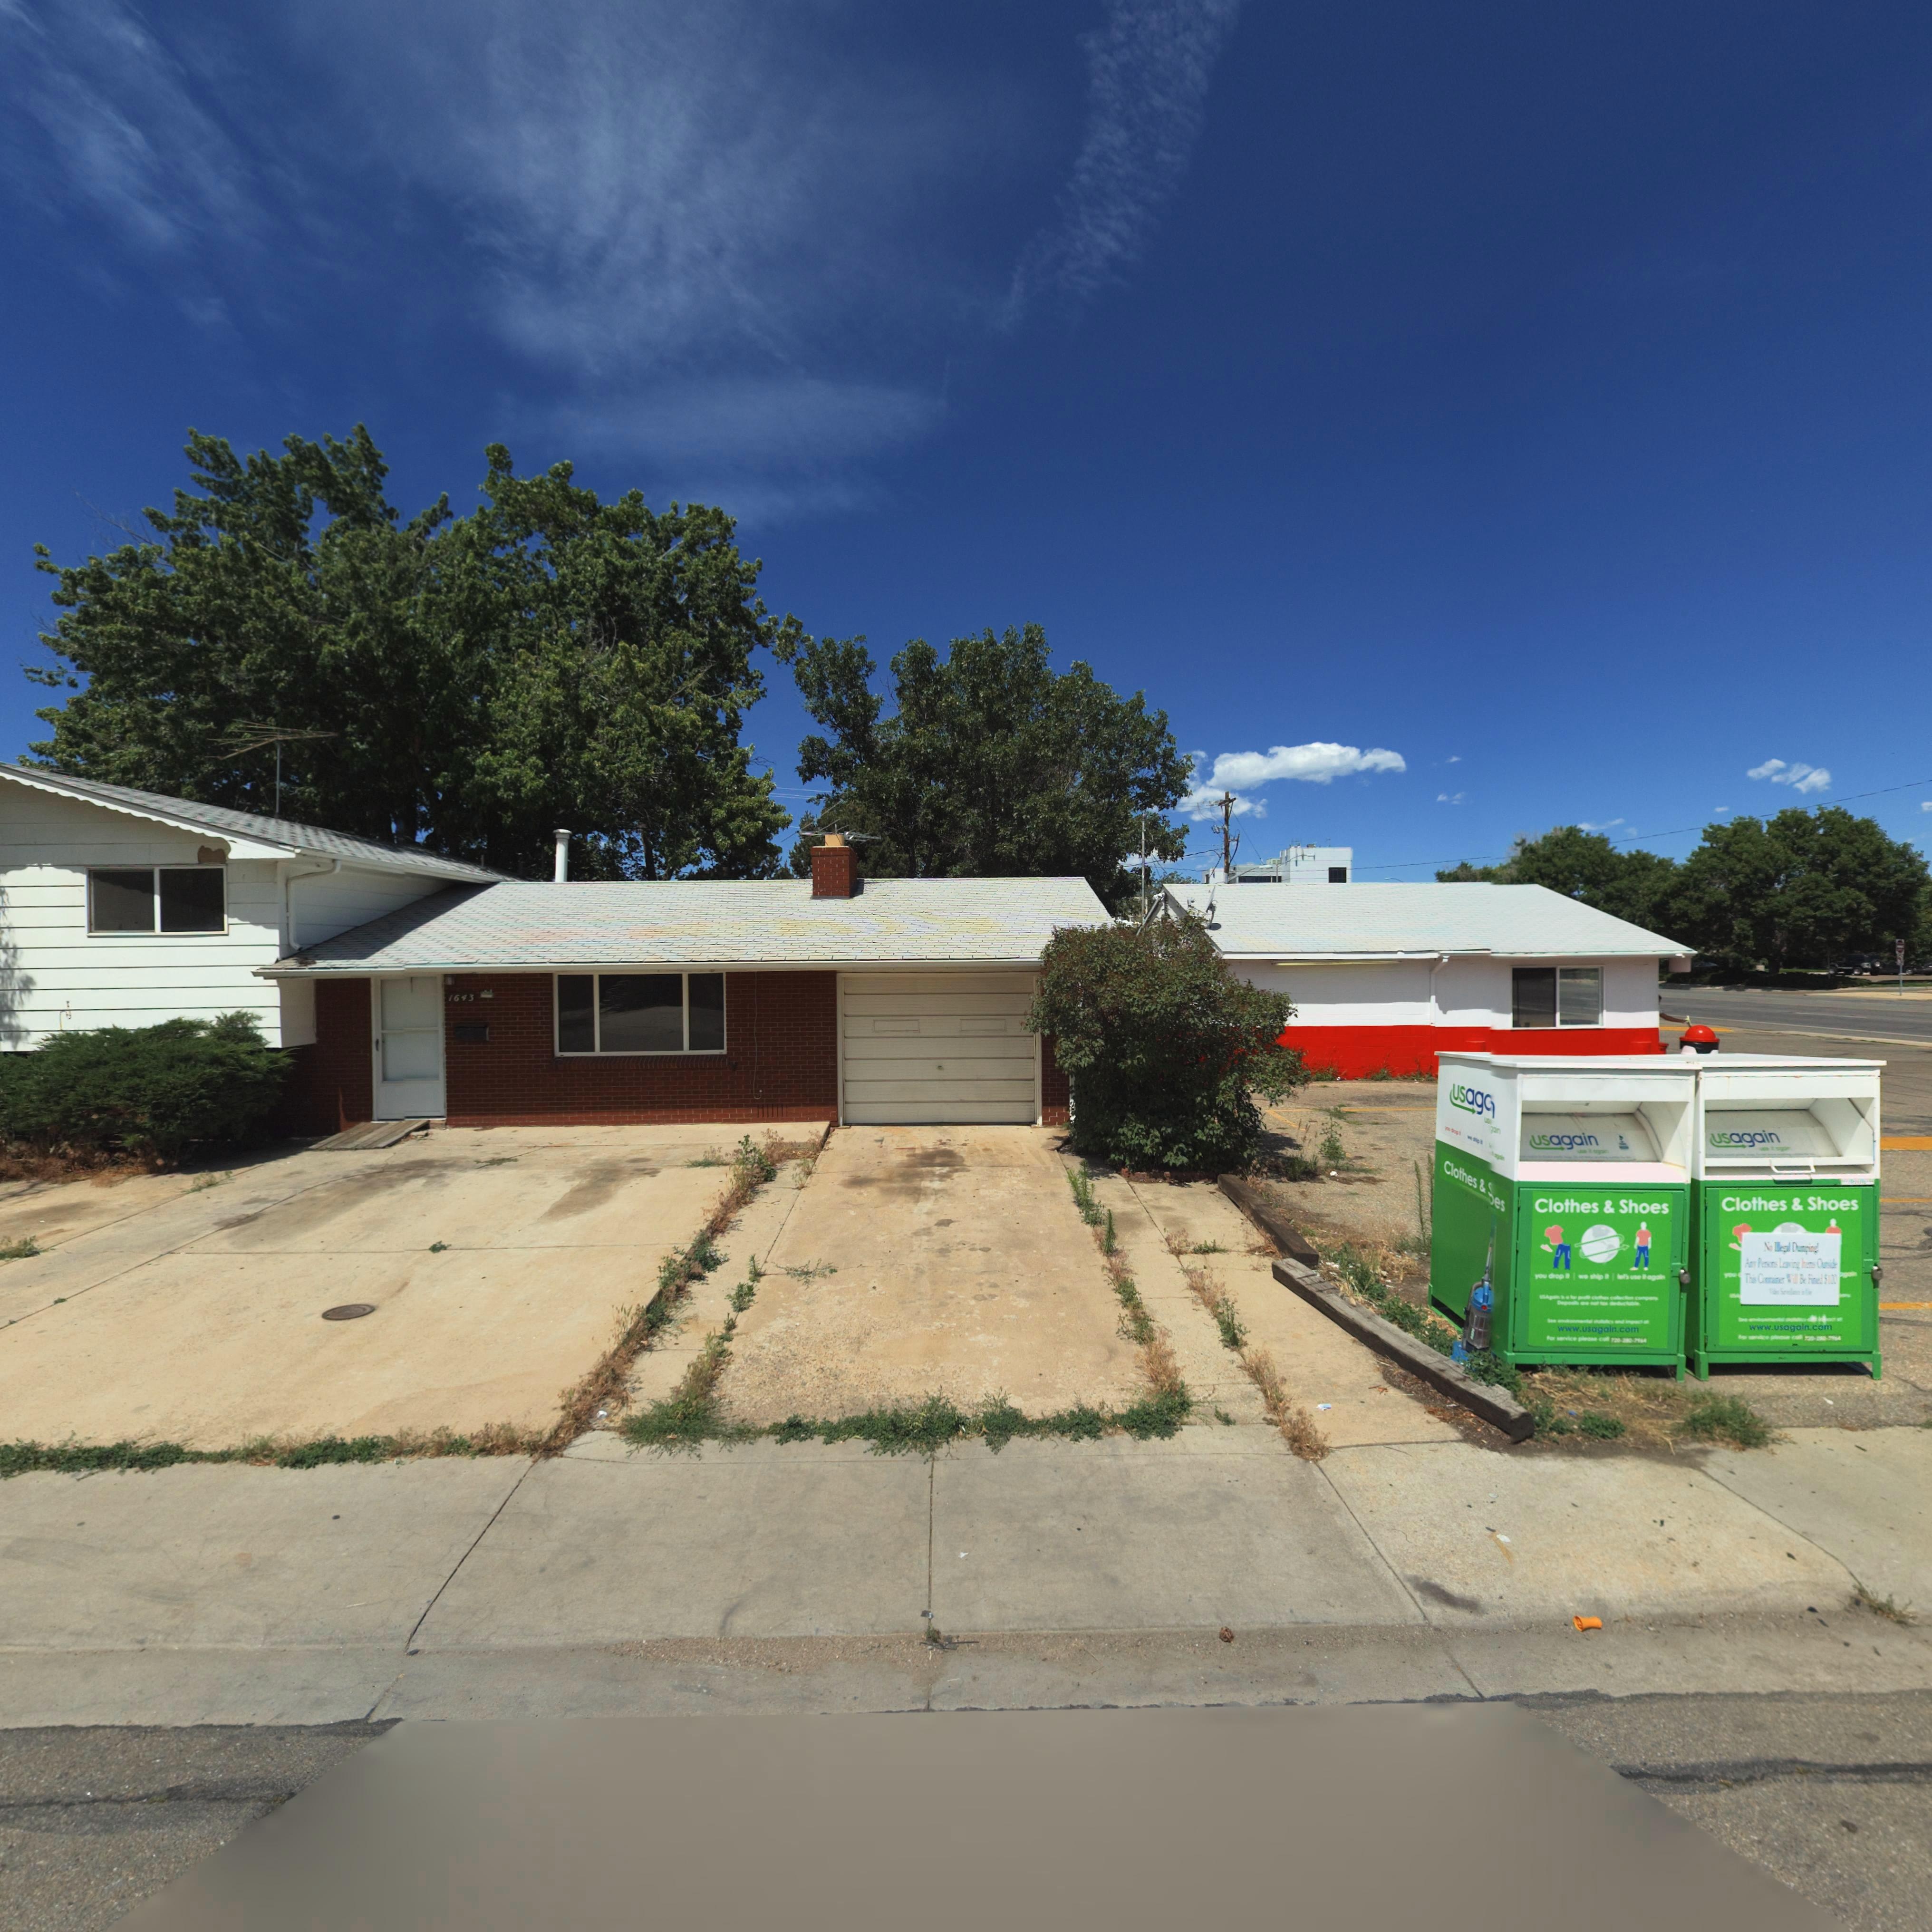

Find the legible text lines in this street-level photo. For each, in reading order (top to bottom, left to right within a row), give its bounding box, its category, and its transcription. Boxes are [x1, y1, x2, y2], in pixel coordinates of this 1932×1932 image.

[447, 994, 474, 1002] StreetNumber: 1643